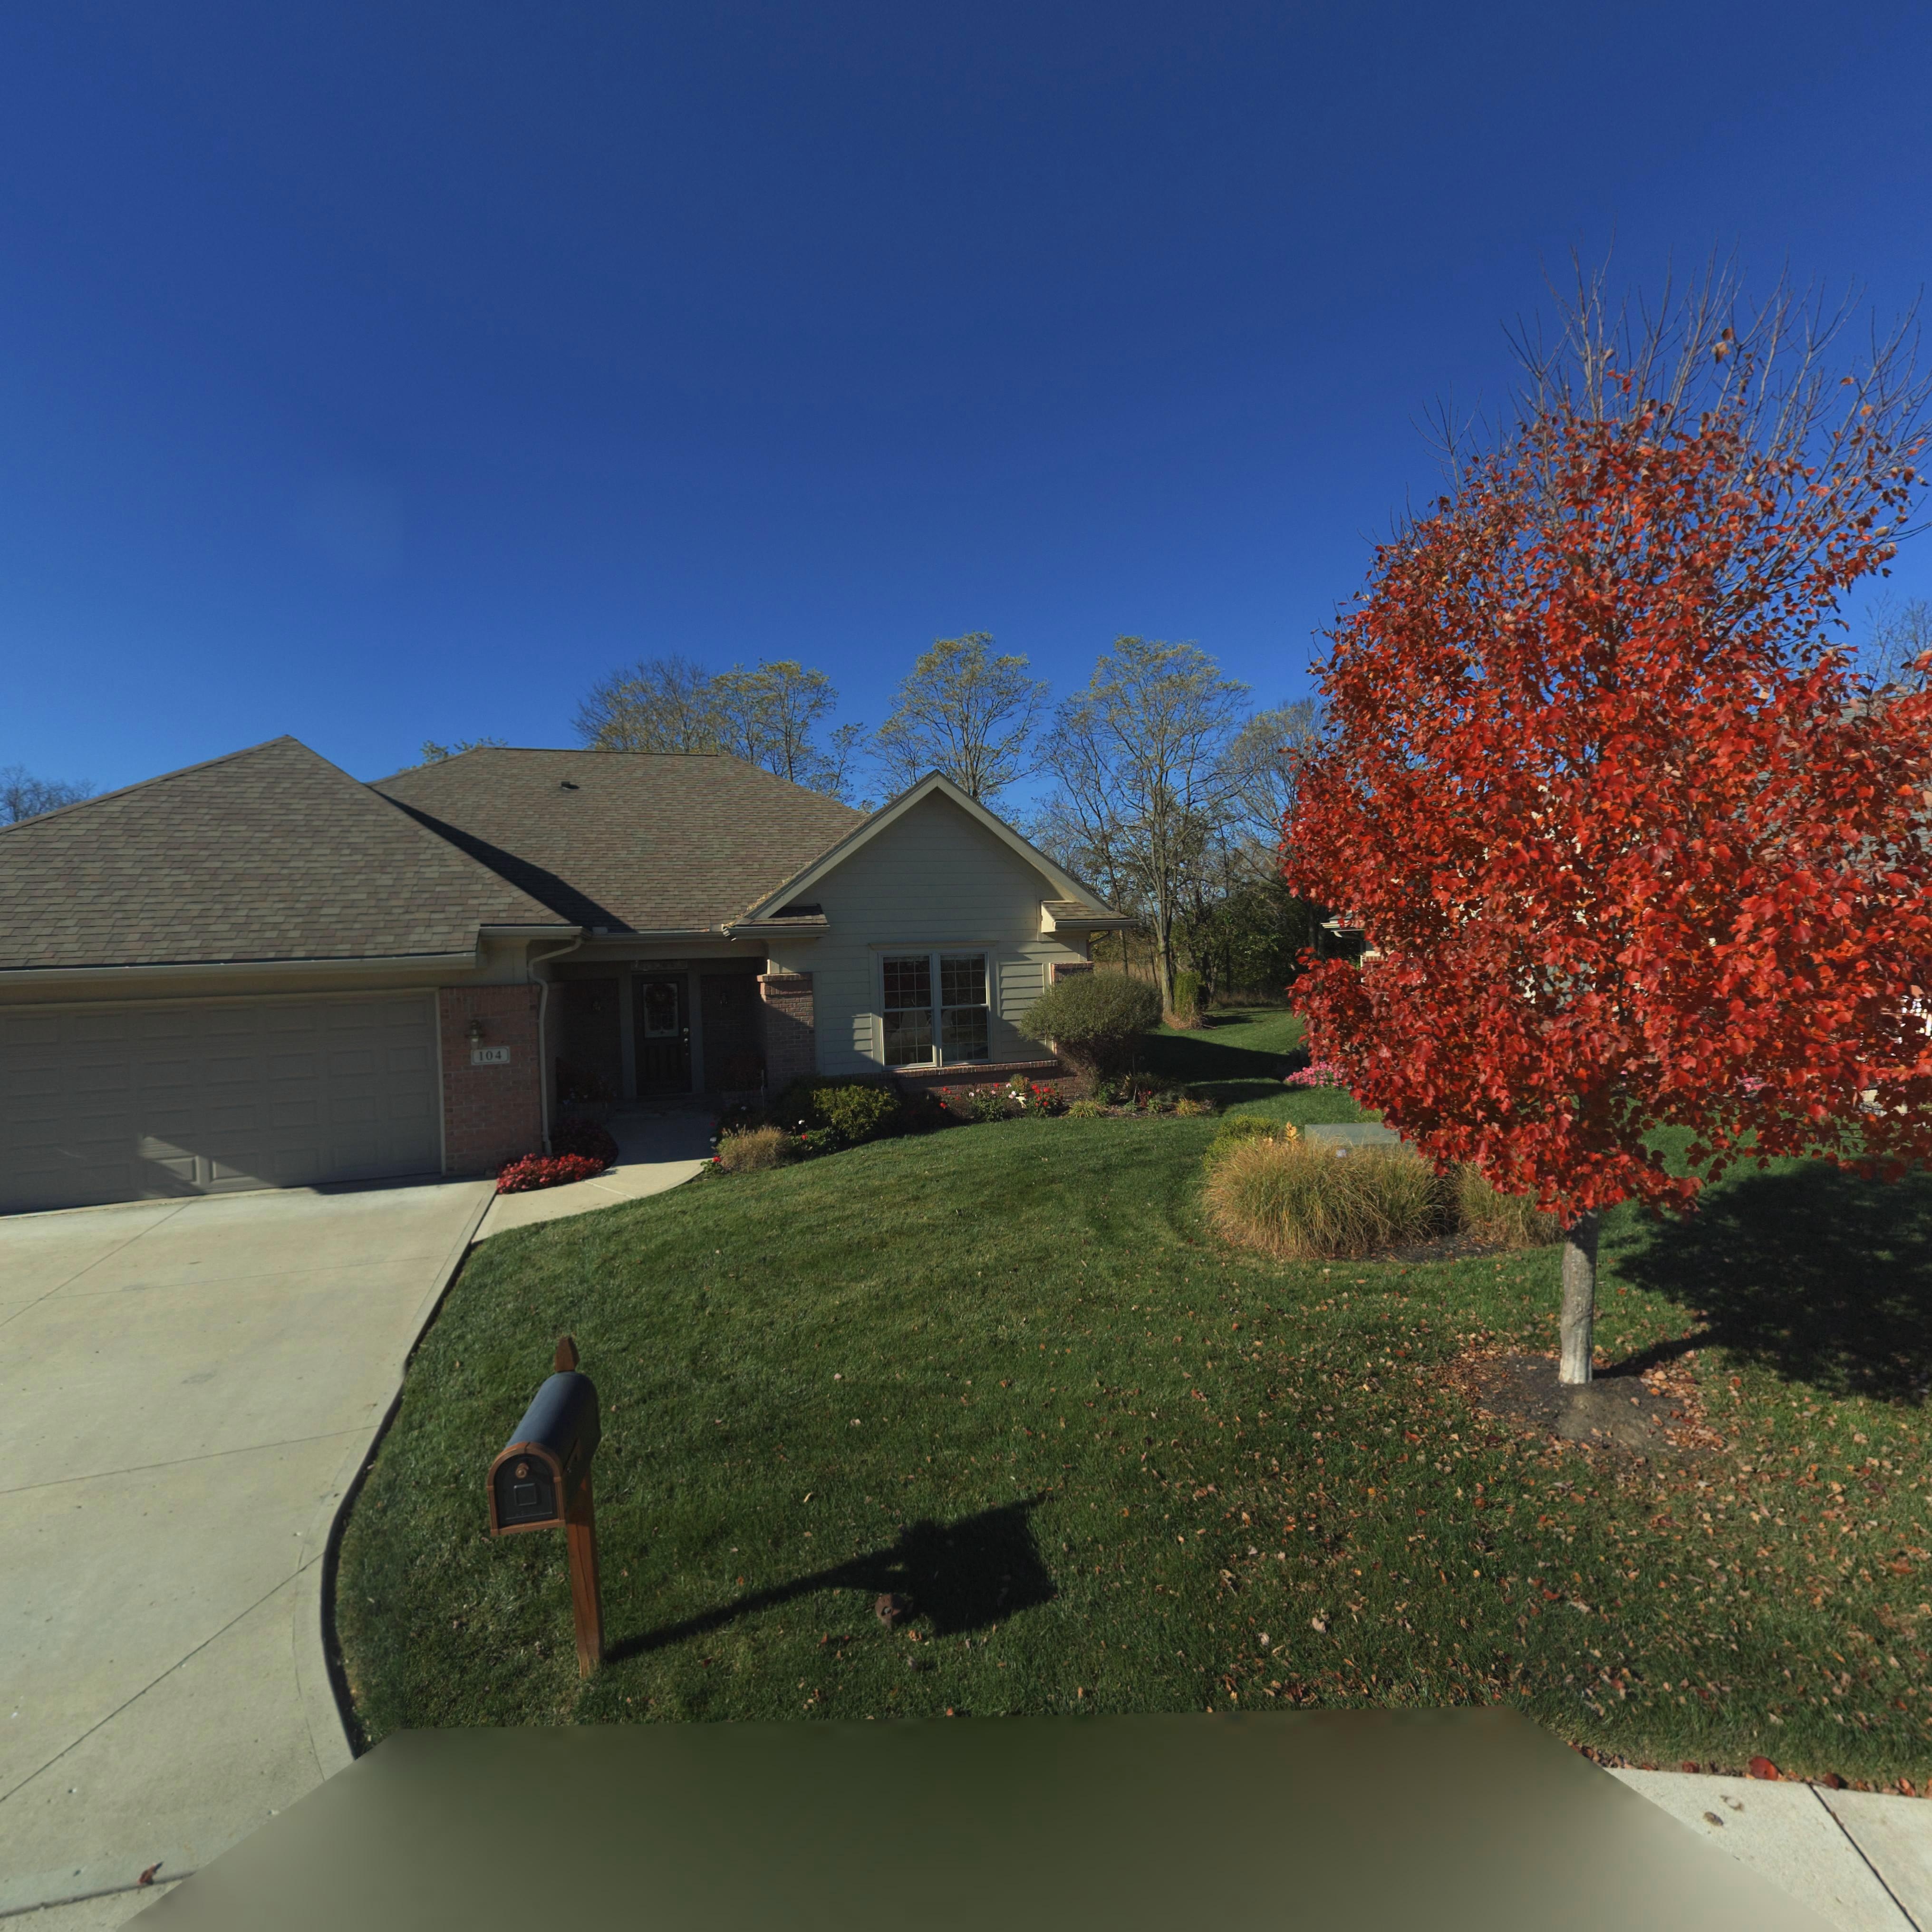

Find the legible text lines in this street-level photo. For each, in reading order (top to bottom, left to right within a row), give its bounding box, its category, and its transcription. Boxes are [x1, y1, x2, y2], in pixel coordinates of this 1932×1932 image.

[478, 1049, 502, 1062] StreetNumber: 104